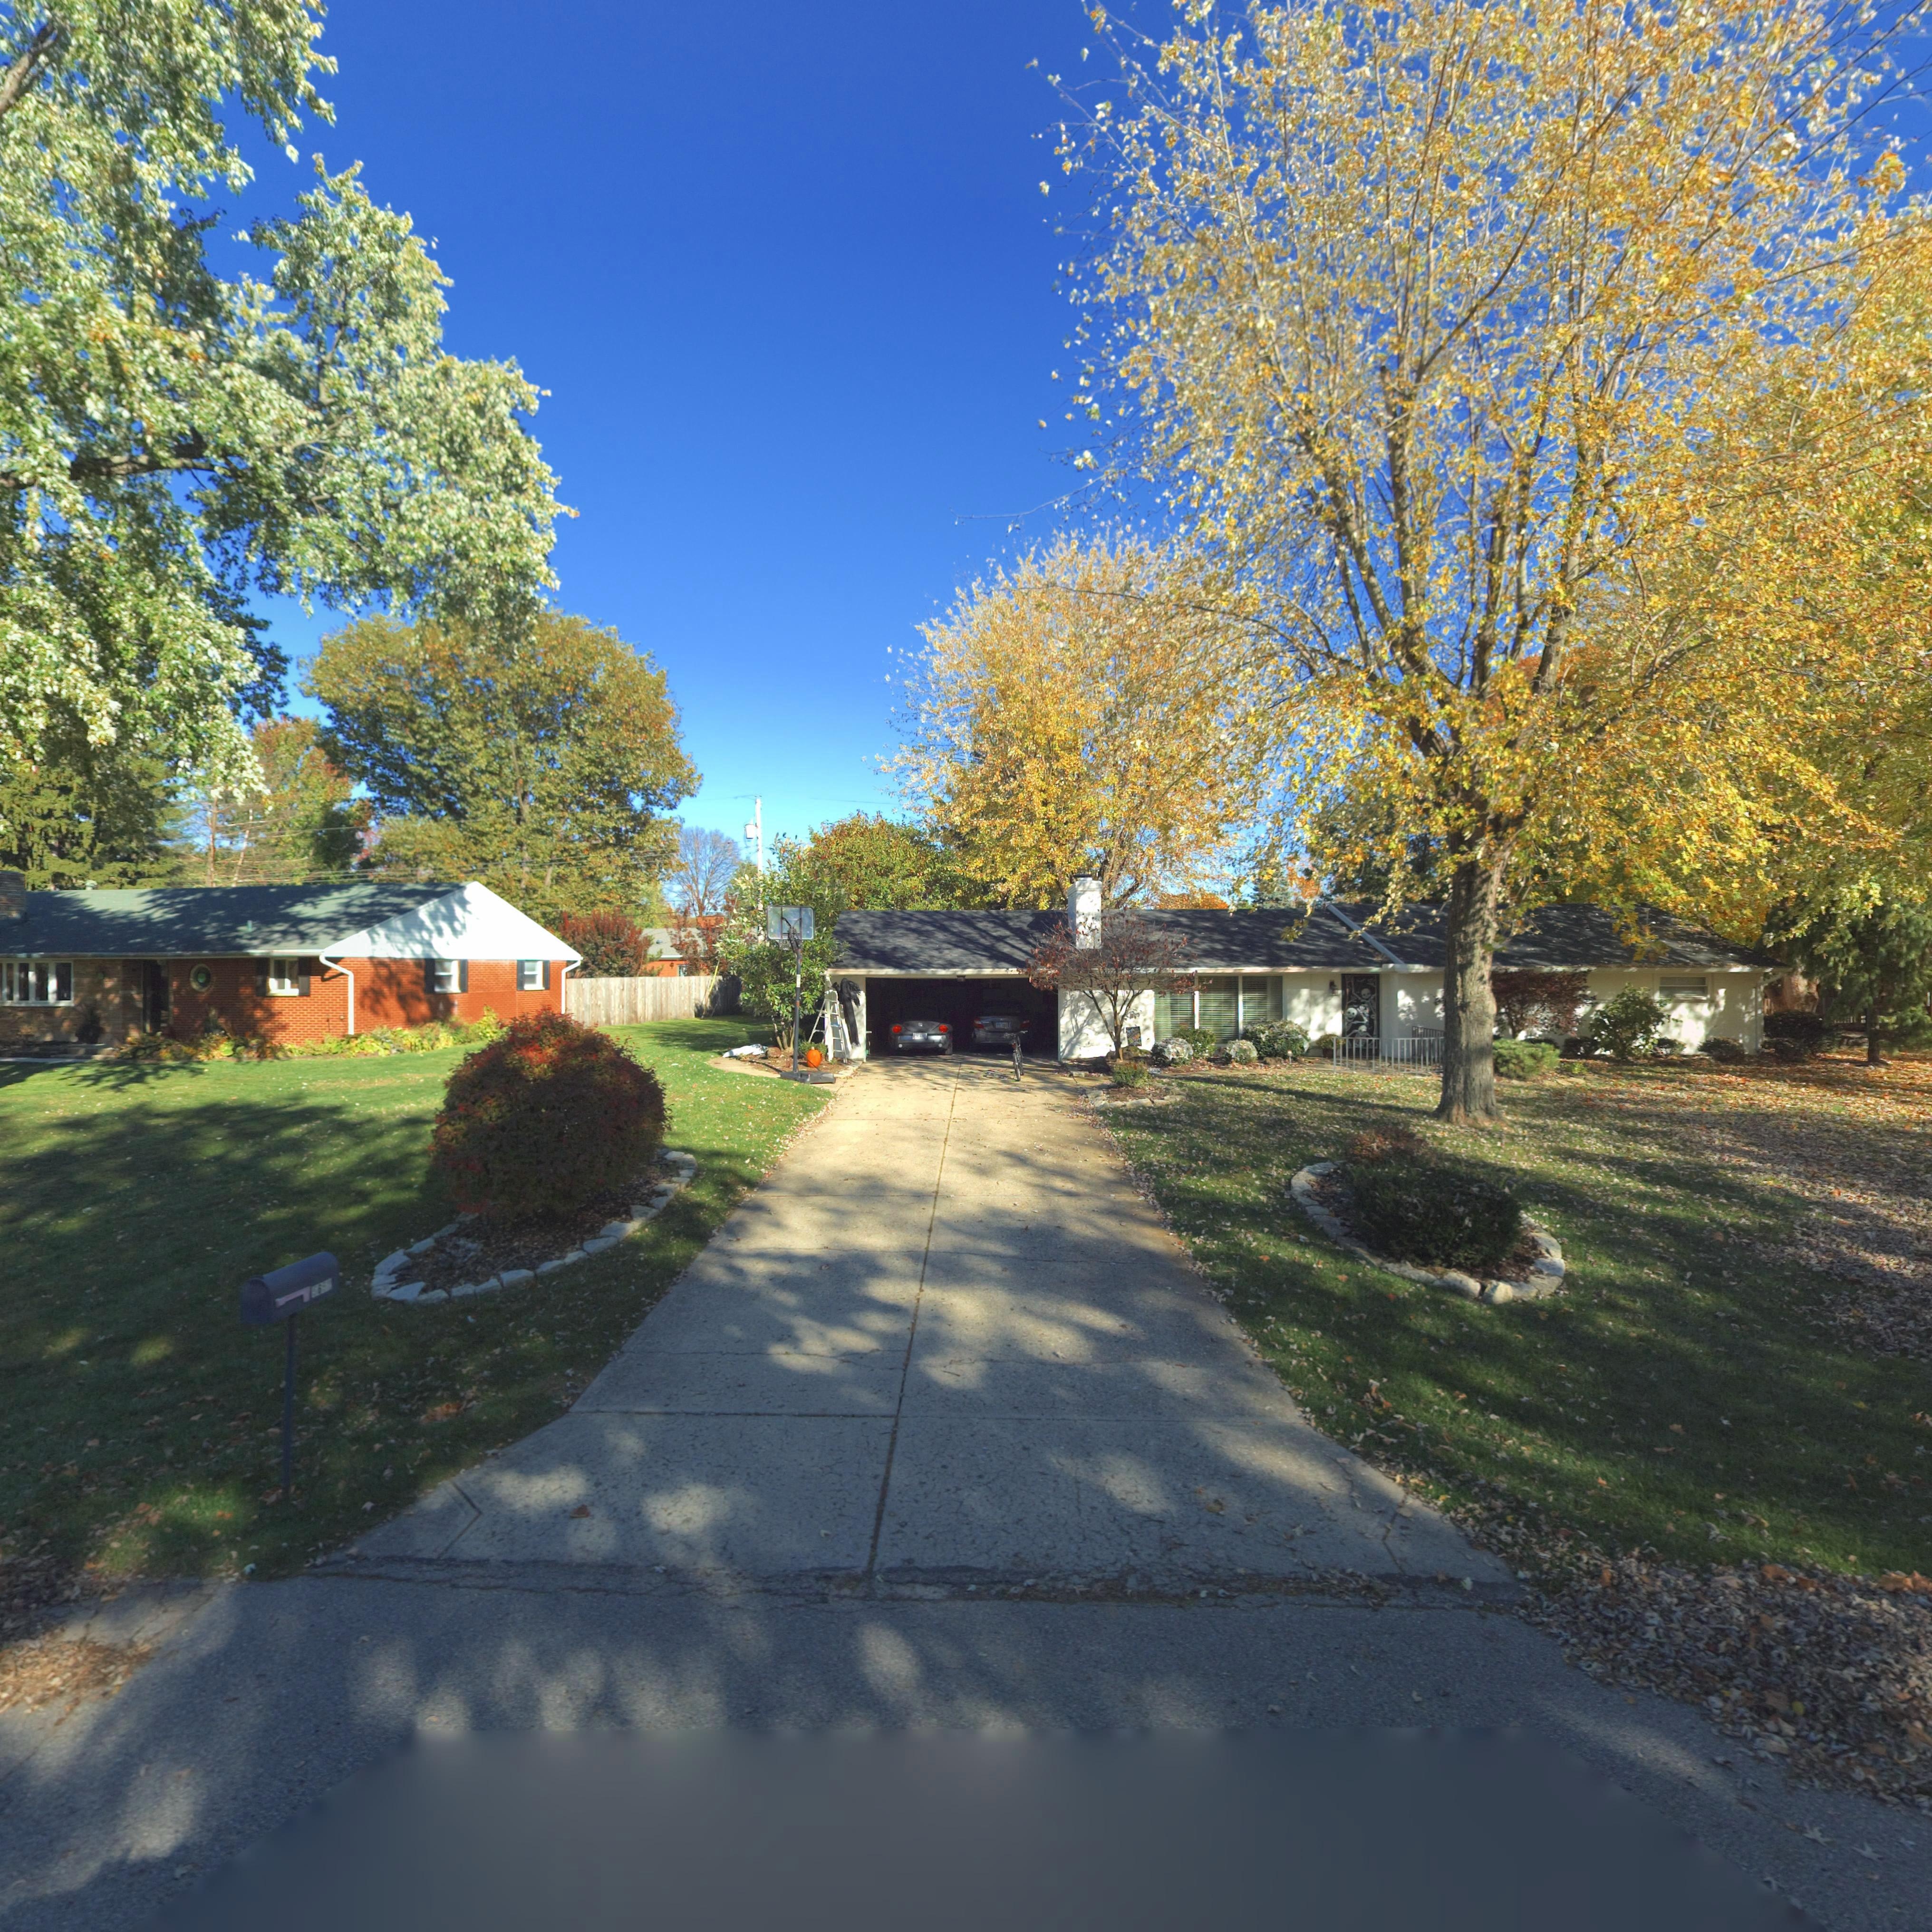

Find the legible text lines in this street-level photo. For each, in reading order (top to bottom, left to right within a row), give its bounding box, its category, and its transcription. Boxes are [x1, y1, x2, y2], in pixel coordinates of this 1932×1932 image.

[312, 1278, 331, 1298] StreetNumber: 5652